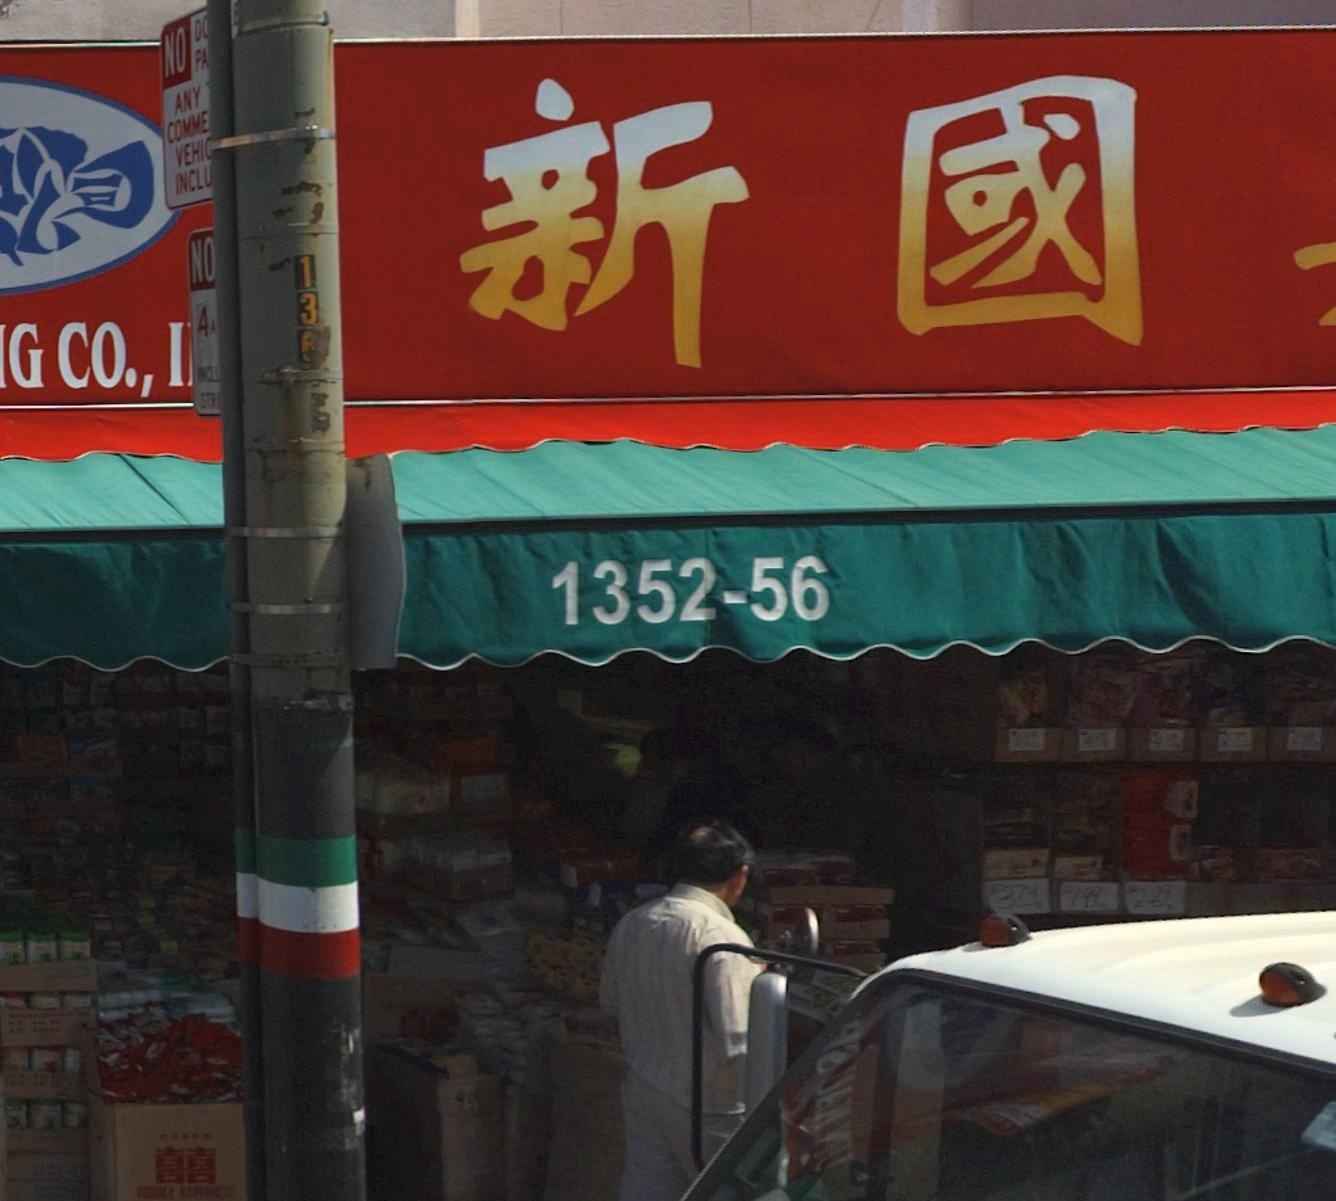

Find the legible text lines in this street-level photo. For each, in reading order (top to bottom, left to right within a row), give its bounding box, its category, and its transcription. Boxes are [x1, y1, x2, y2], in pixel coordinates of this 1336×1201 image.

[193, 16, 210, 43] None: DO
[163, 25, 186, 79] None: NO
[195, 44, 210, 74] None: PA
[174, 83, 202, 117] None: ANY
[165, 110, 210, 146] None: COMME
[173, 137, 205, 170] None: VEHI
[174, 162, 213, 198] None: INCLU
[191, 234, 215, 286] None: NO
[195, 302, 218, 338] None: 4A
[296, 255, 319, 365] None: 13*
[6, 320, 185, 398] BusinessName: G CO., I
[198, 390, 218, 410] None: STR
[550, 552, 833, 627] StreetNumber: 1352-56